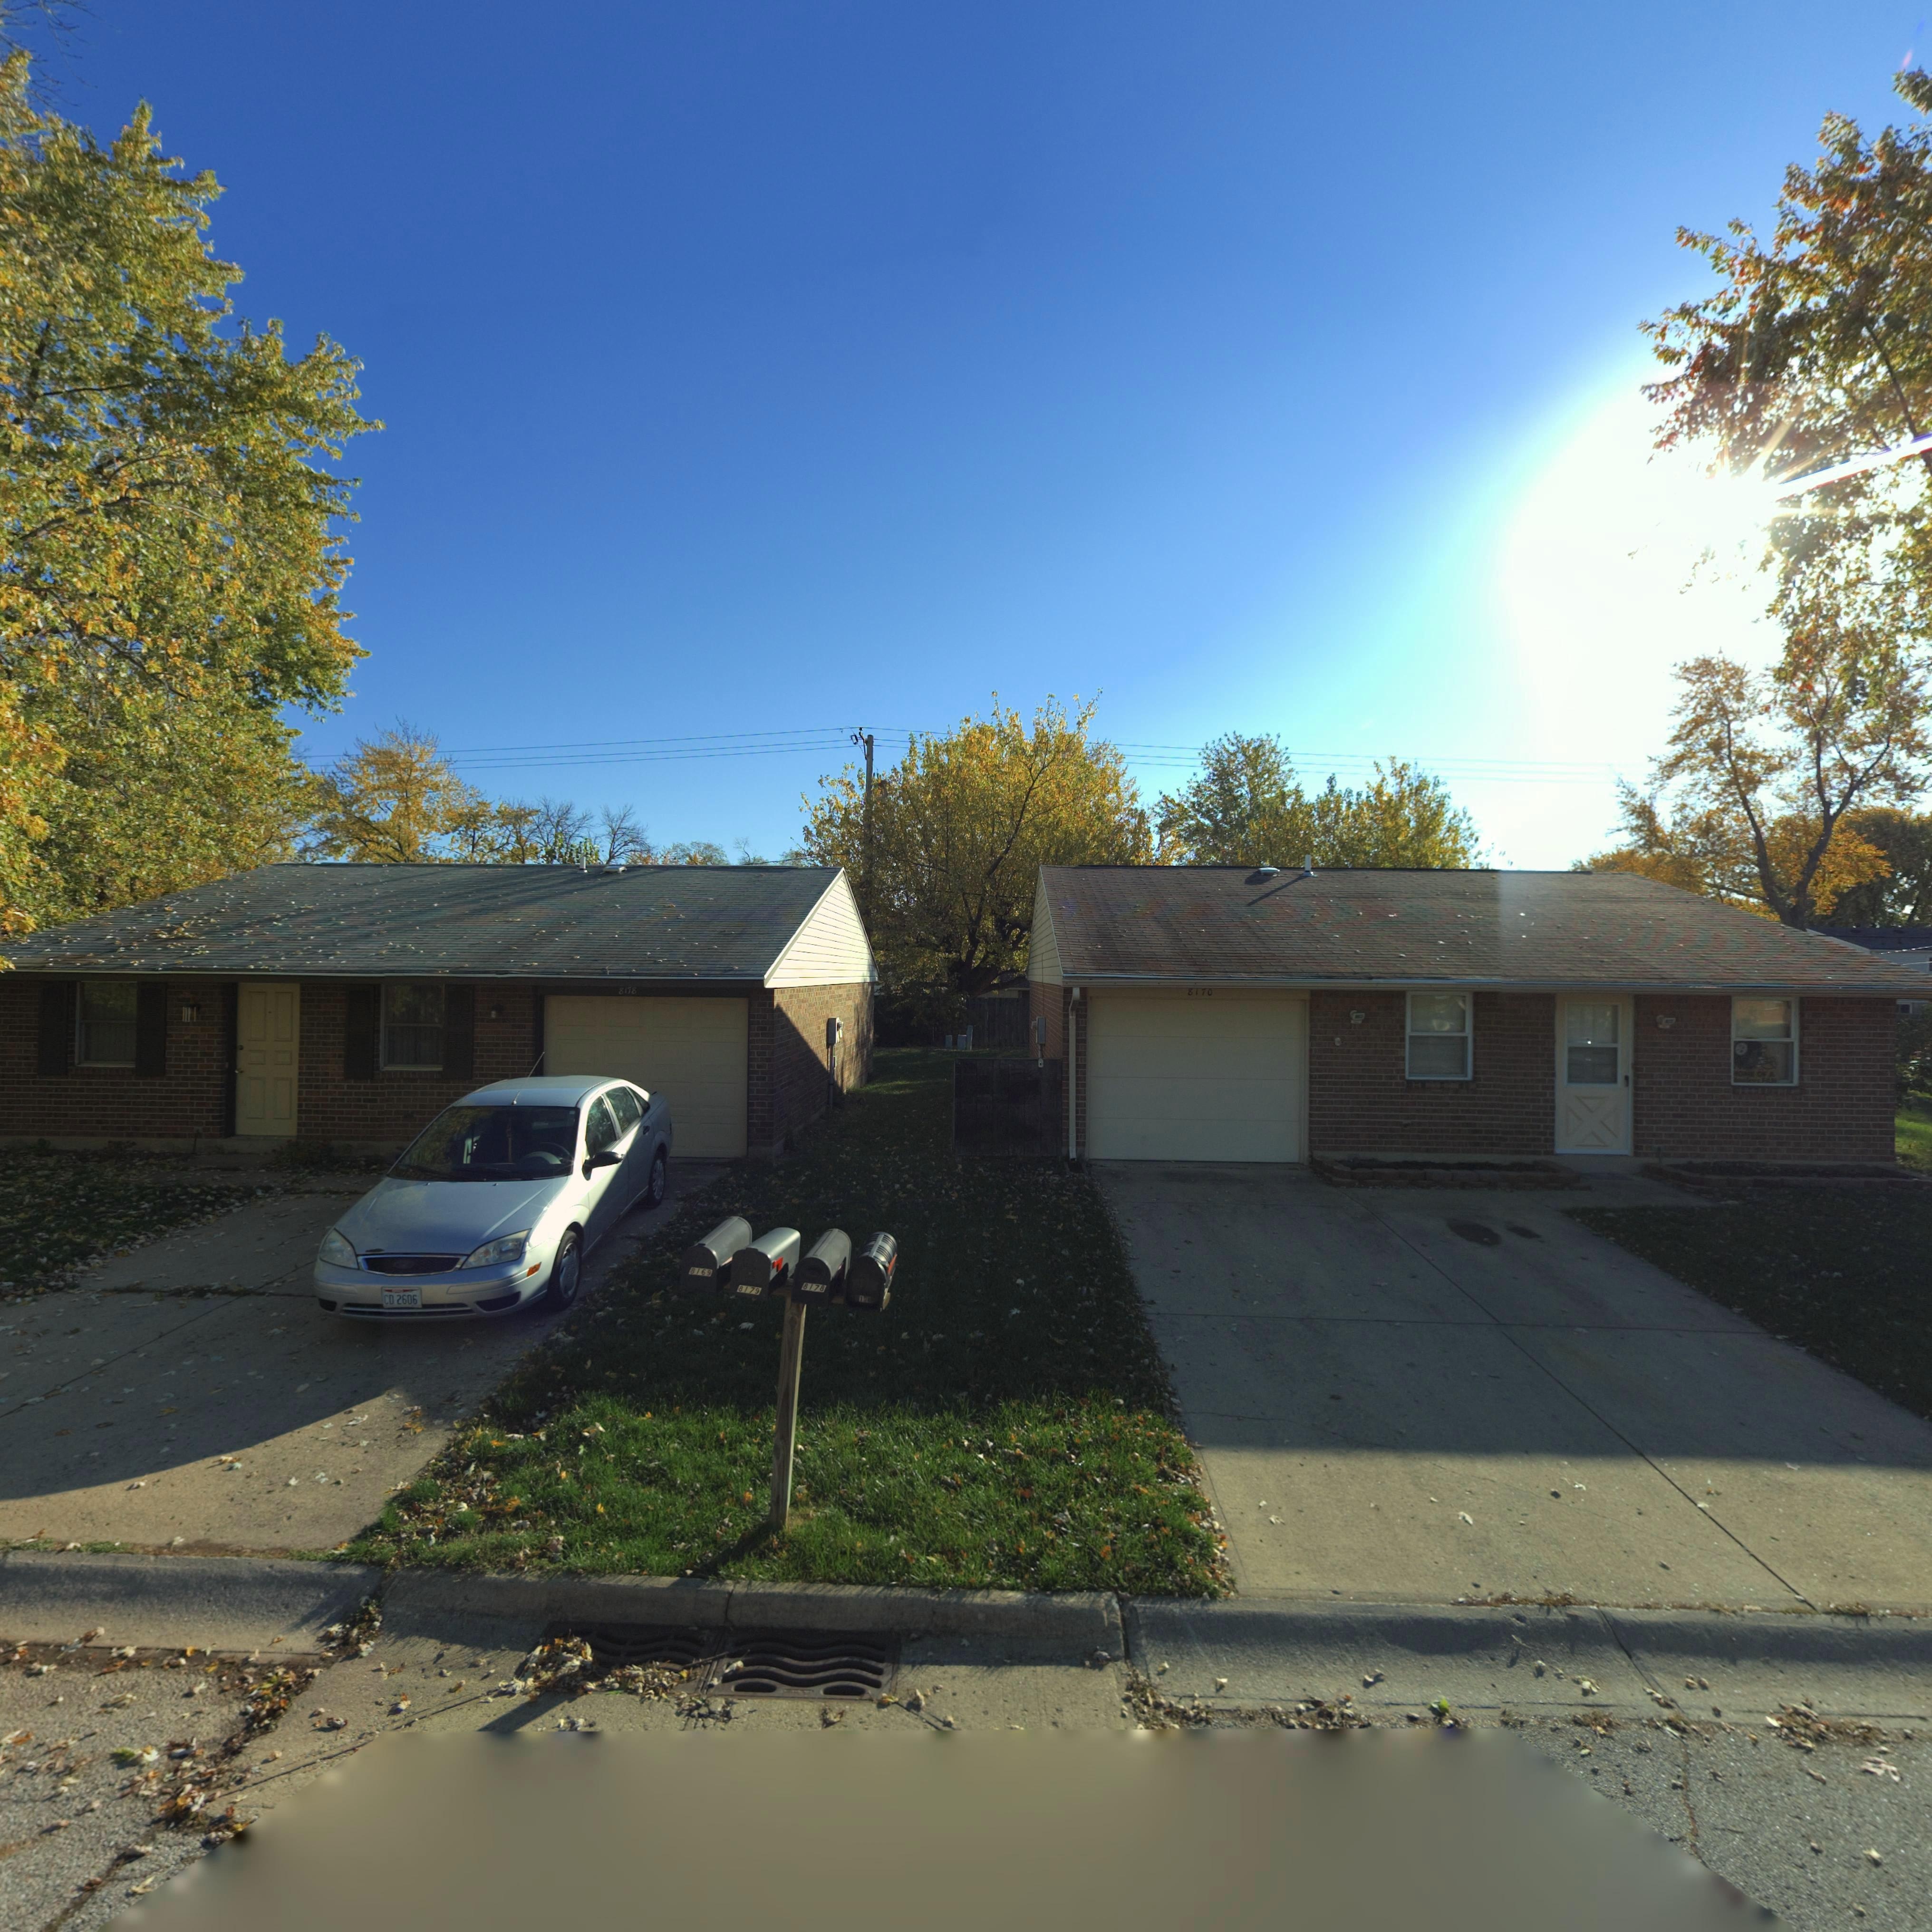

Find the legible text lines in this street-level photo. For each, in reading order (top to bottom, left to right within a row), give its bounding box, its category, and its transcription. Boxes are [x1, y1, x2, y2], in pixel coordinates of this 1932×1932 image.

[617, 985, 638, 996] StreetNumber: 8178
[1187, 987, 1214, 997] StreetNumber: 8170
[689, 1267, 713, 1276] StreetNumber: 8169
[737, 1285, 761, 1295] StreetNumber: 8179
[802, 1282, 826, 1293] StreetNumber: 8178
[859, 1295, 864, 1303] StreetNumber: 1